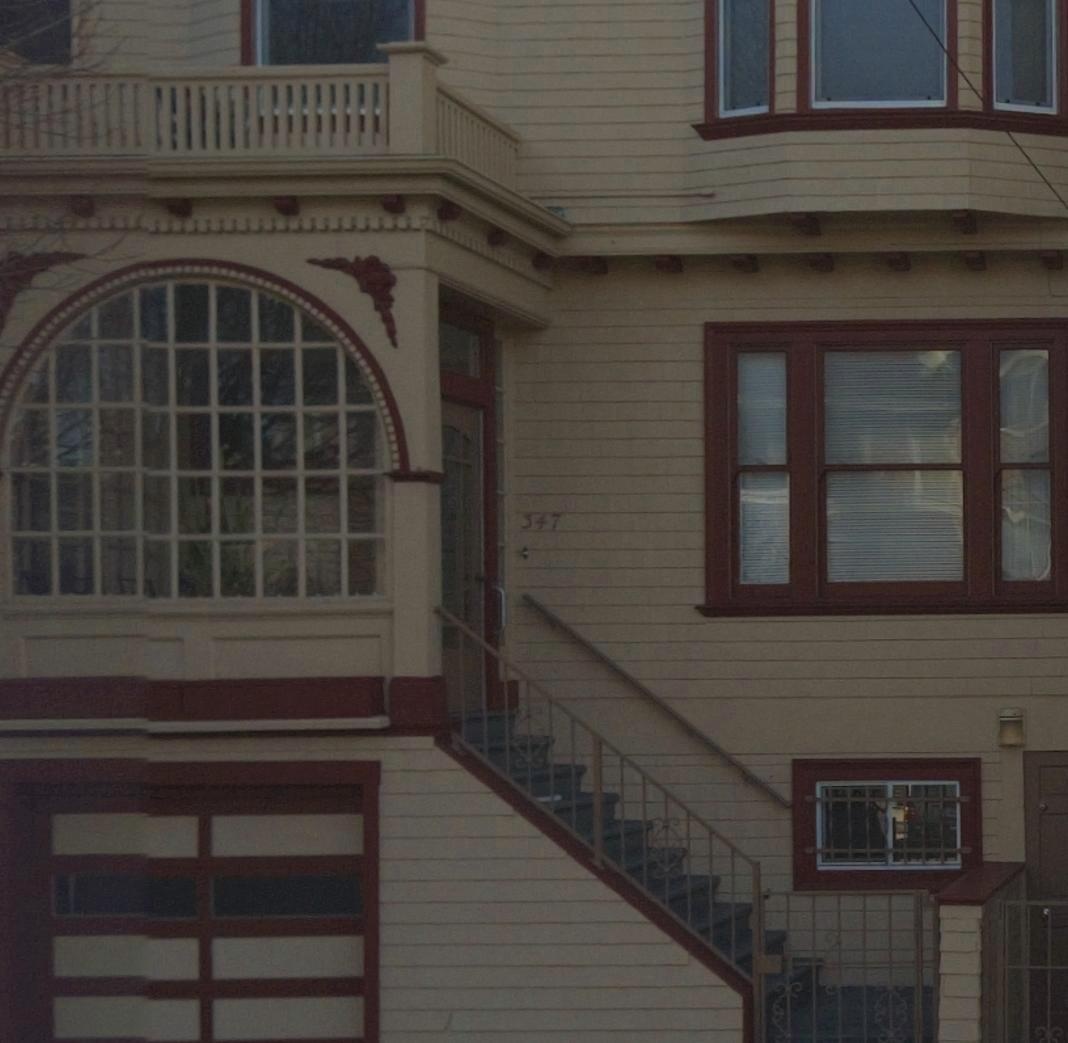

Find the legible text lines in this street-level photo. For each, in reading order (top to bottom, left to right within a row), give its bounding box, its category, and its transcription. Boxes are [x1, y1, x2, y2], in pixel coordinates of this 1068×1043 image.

[519, 510, 564, 533] StreetNumber: 347